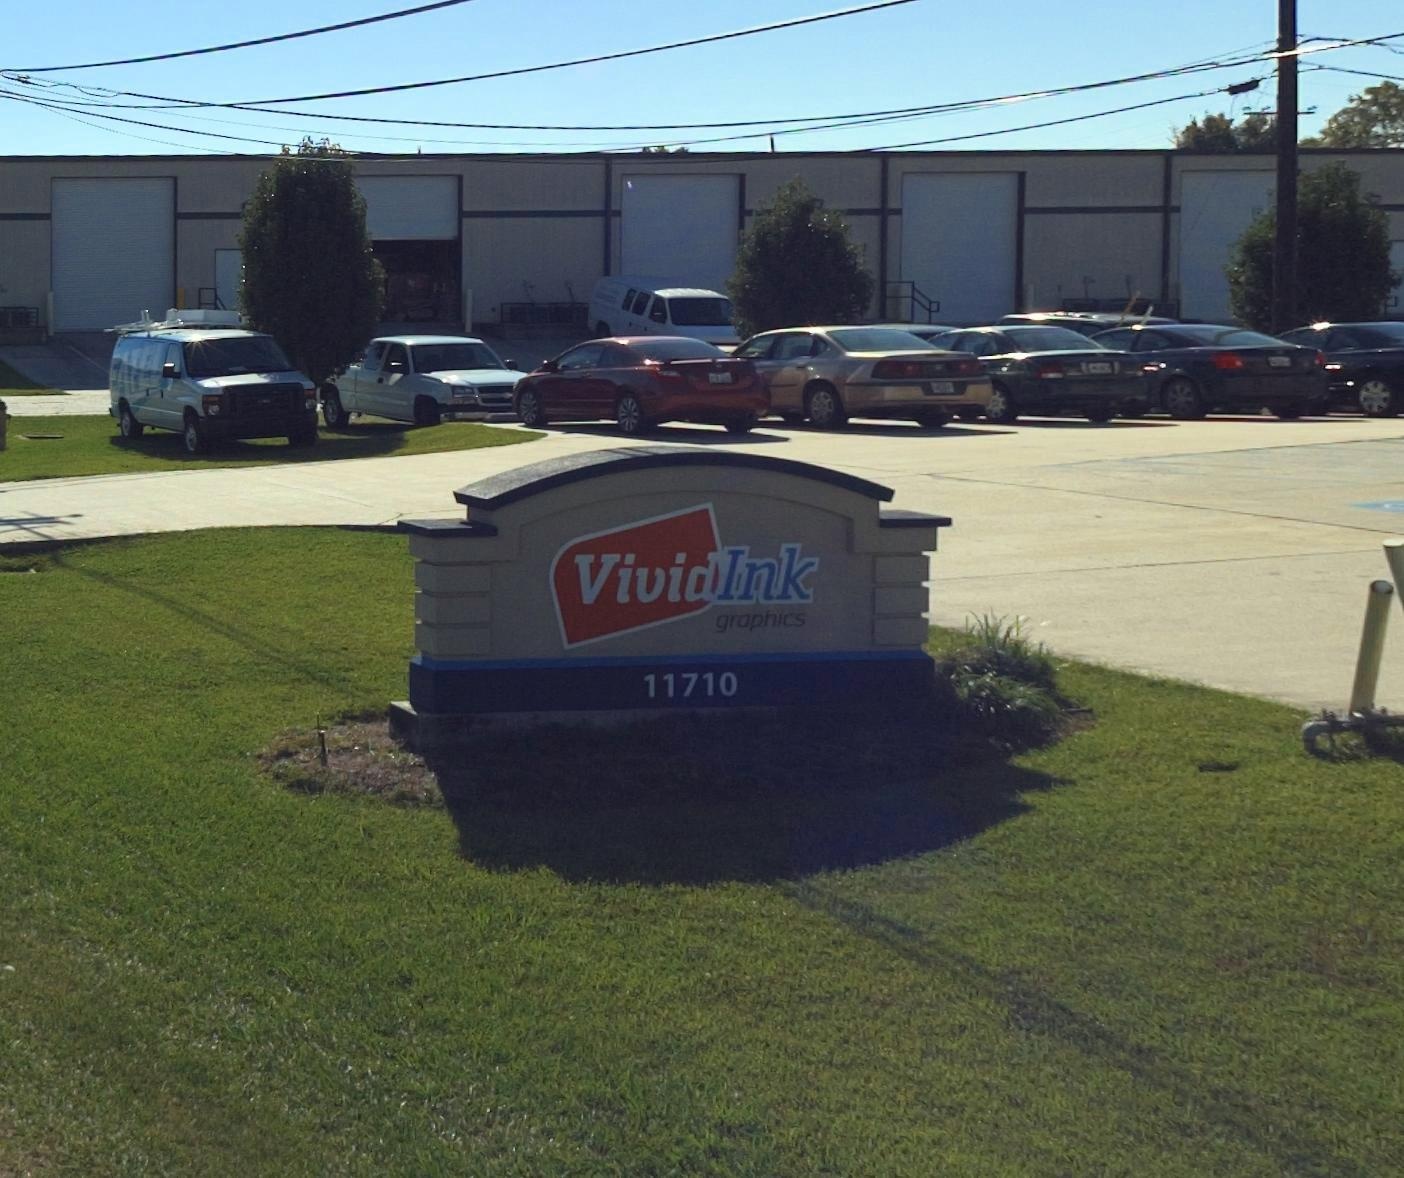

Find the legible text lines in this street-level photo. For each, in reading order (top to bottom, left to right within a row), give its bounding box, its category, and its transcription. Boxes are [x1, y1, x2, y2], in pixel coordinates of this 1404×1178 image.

[571, 544, 820, 608] BusinessName: Vivid Ink
[713, 607, 810, 636] BusinessName: graphics
[640, 669, 740, 701] StreetNumber: 11710